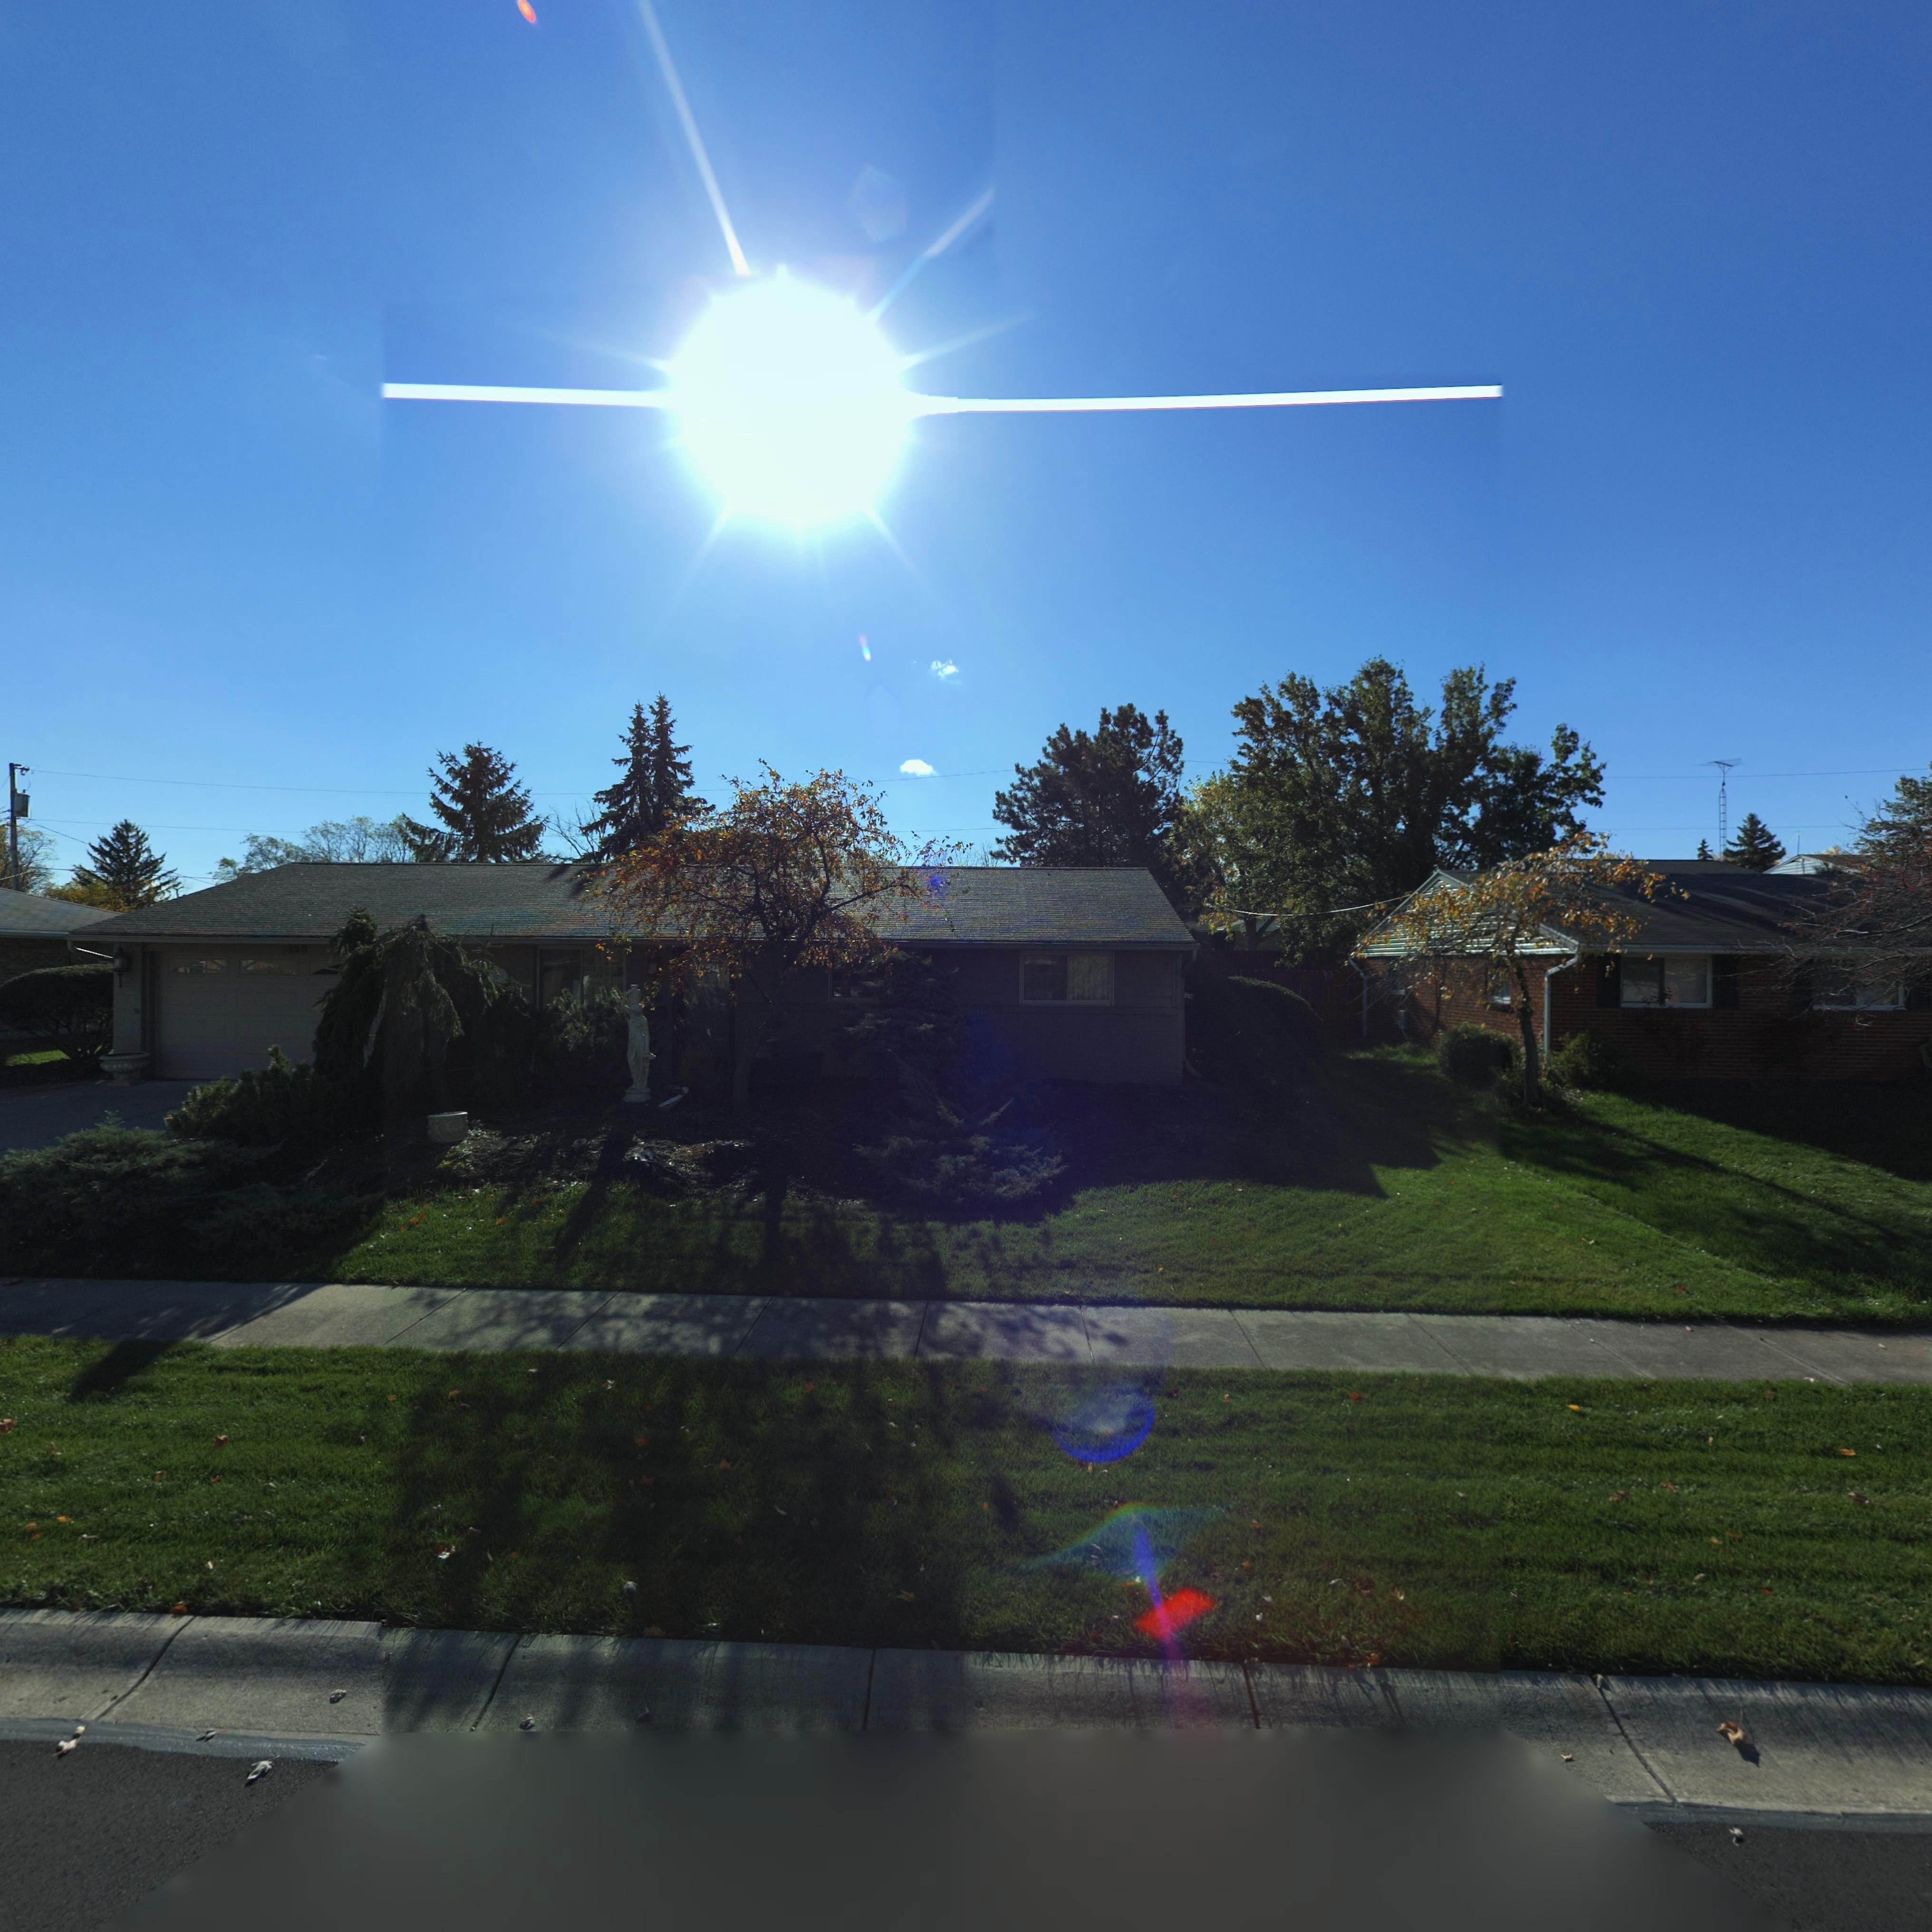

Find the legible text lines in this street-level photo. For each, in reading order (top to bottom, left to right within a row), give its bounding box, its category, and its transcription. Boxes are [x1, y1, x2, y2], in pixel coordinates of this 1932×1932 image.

[288, 943, 309, 955] StreetNumber: 250